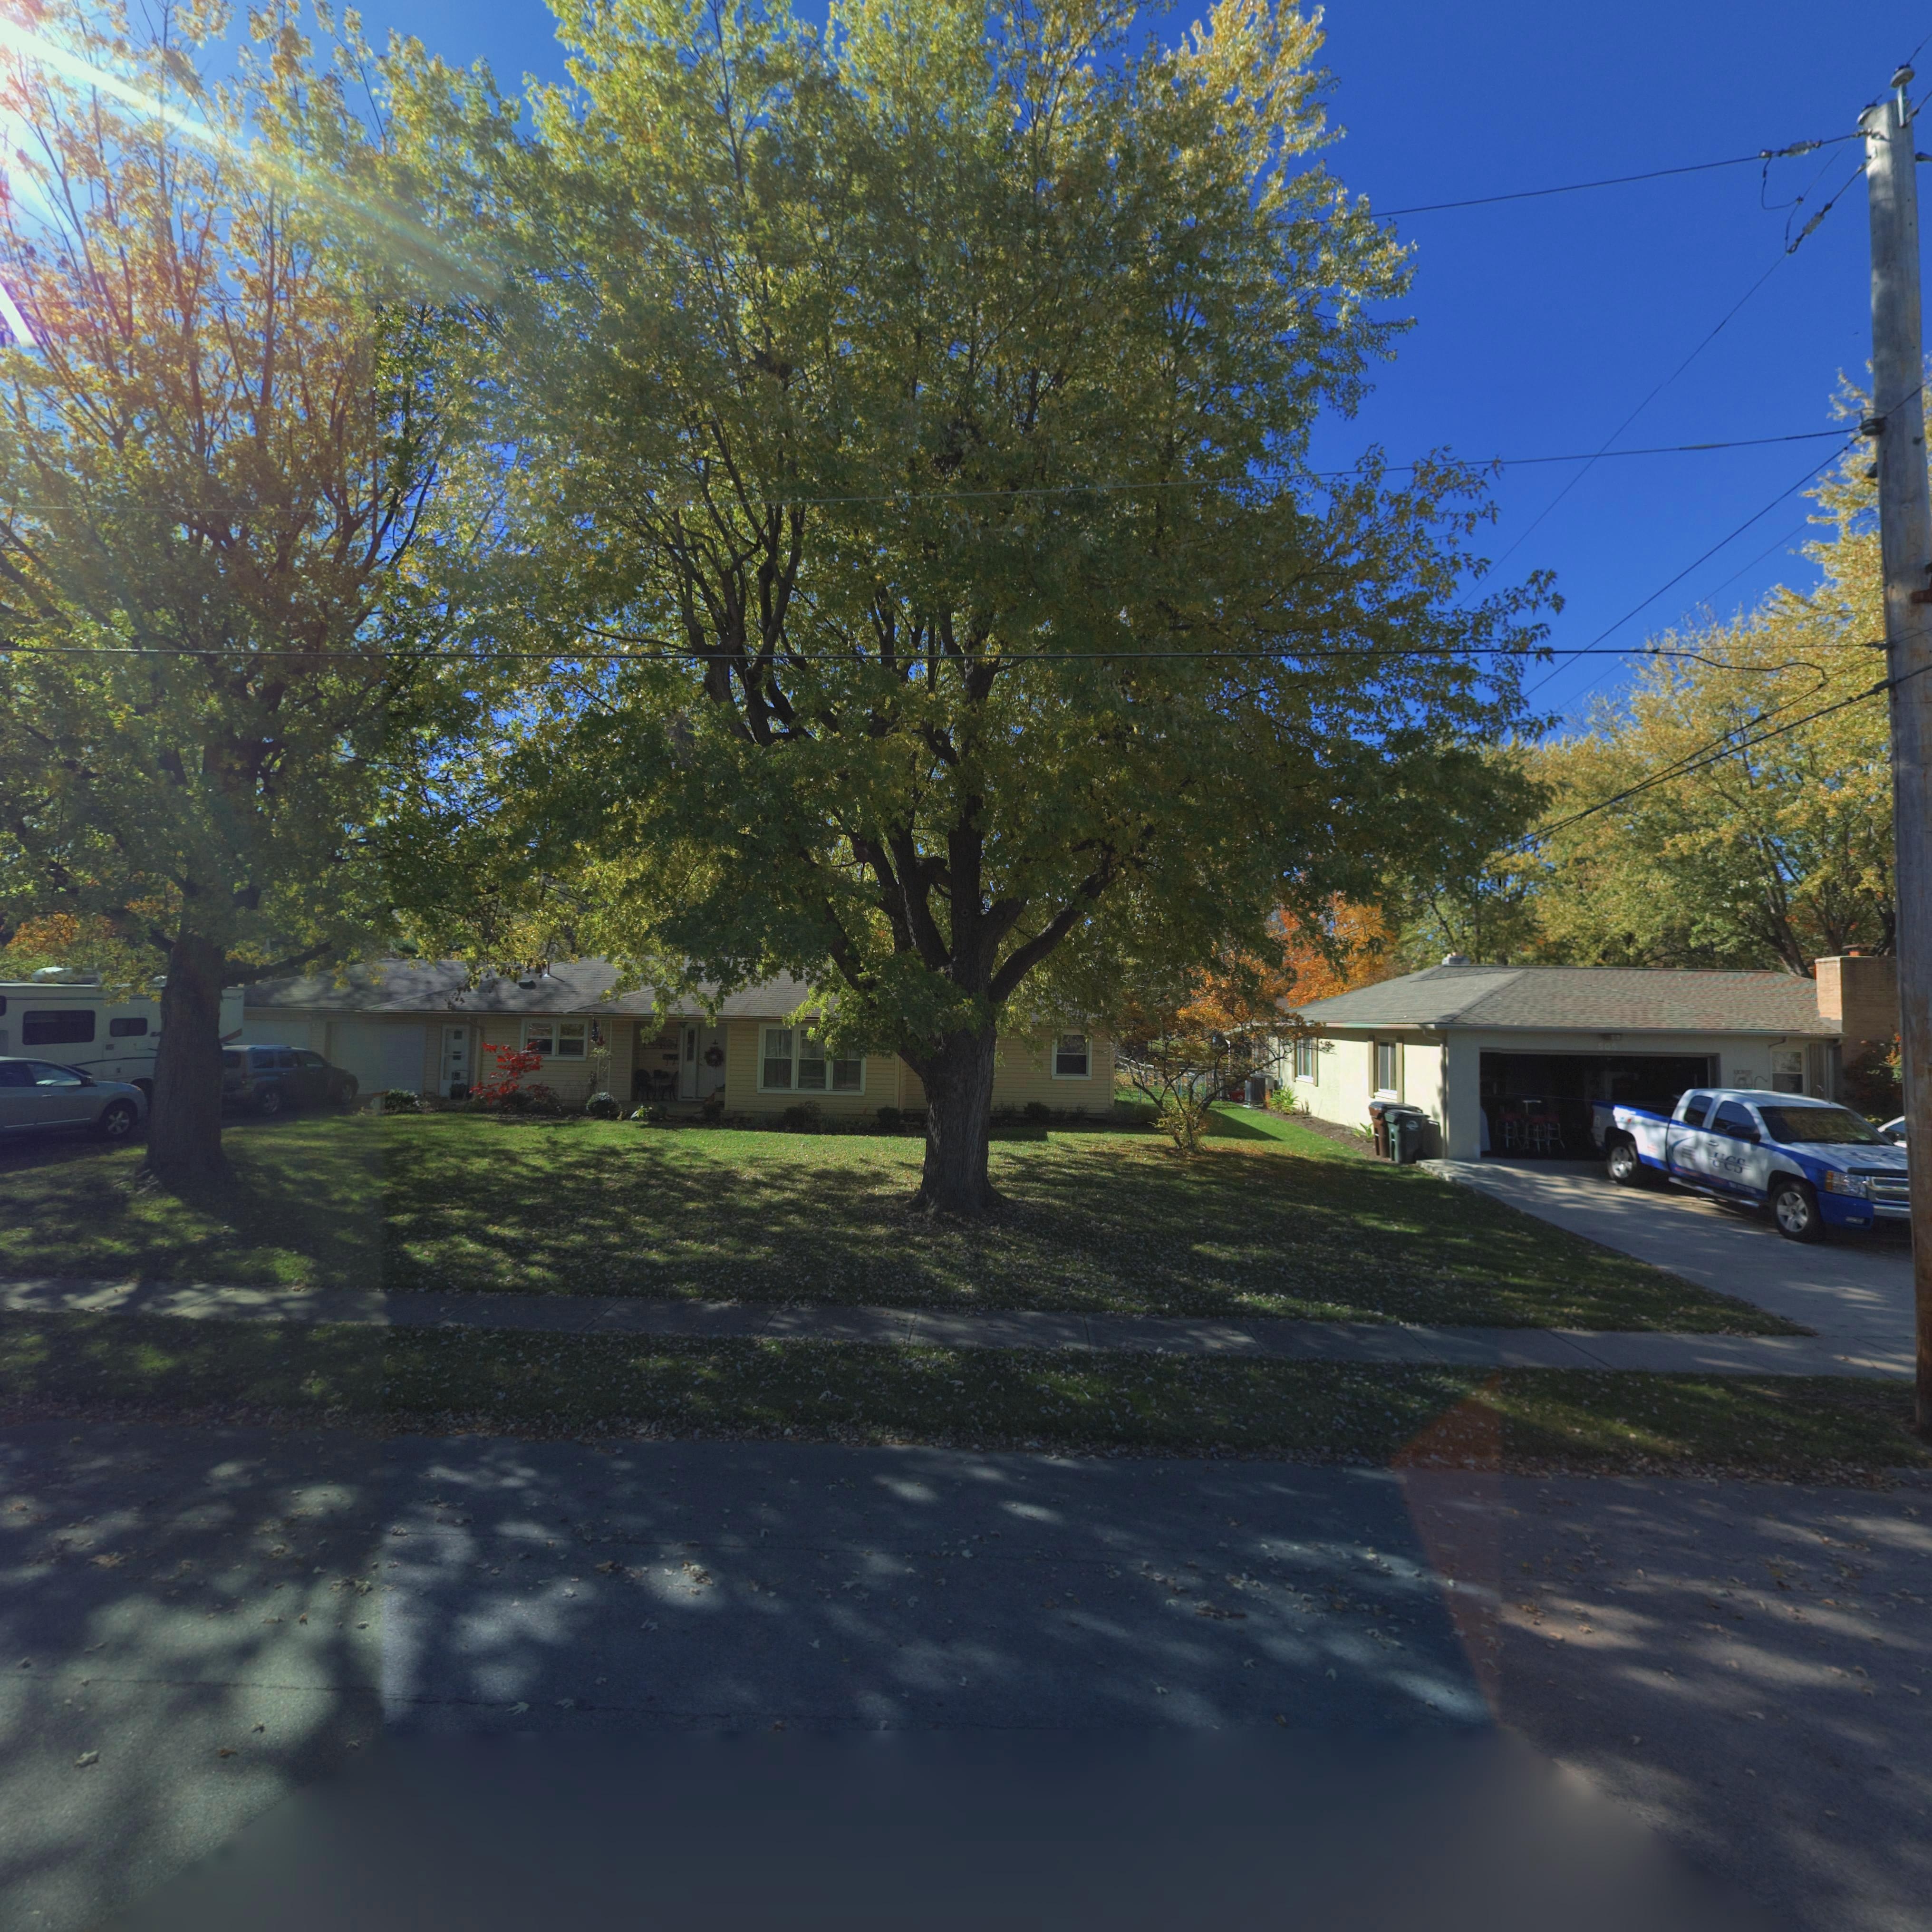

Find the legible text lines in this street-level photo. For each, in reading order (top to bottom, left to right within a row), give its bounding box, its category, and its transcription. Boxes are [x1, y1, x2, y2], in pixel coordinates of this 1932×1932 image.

[1597, 1042, 1618, 1052] StreetNumber: *0*